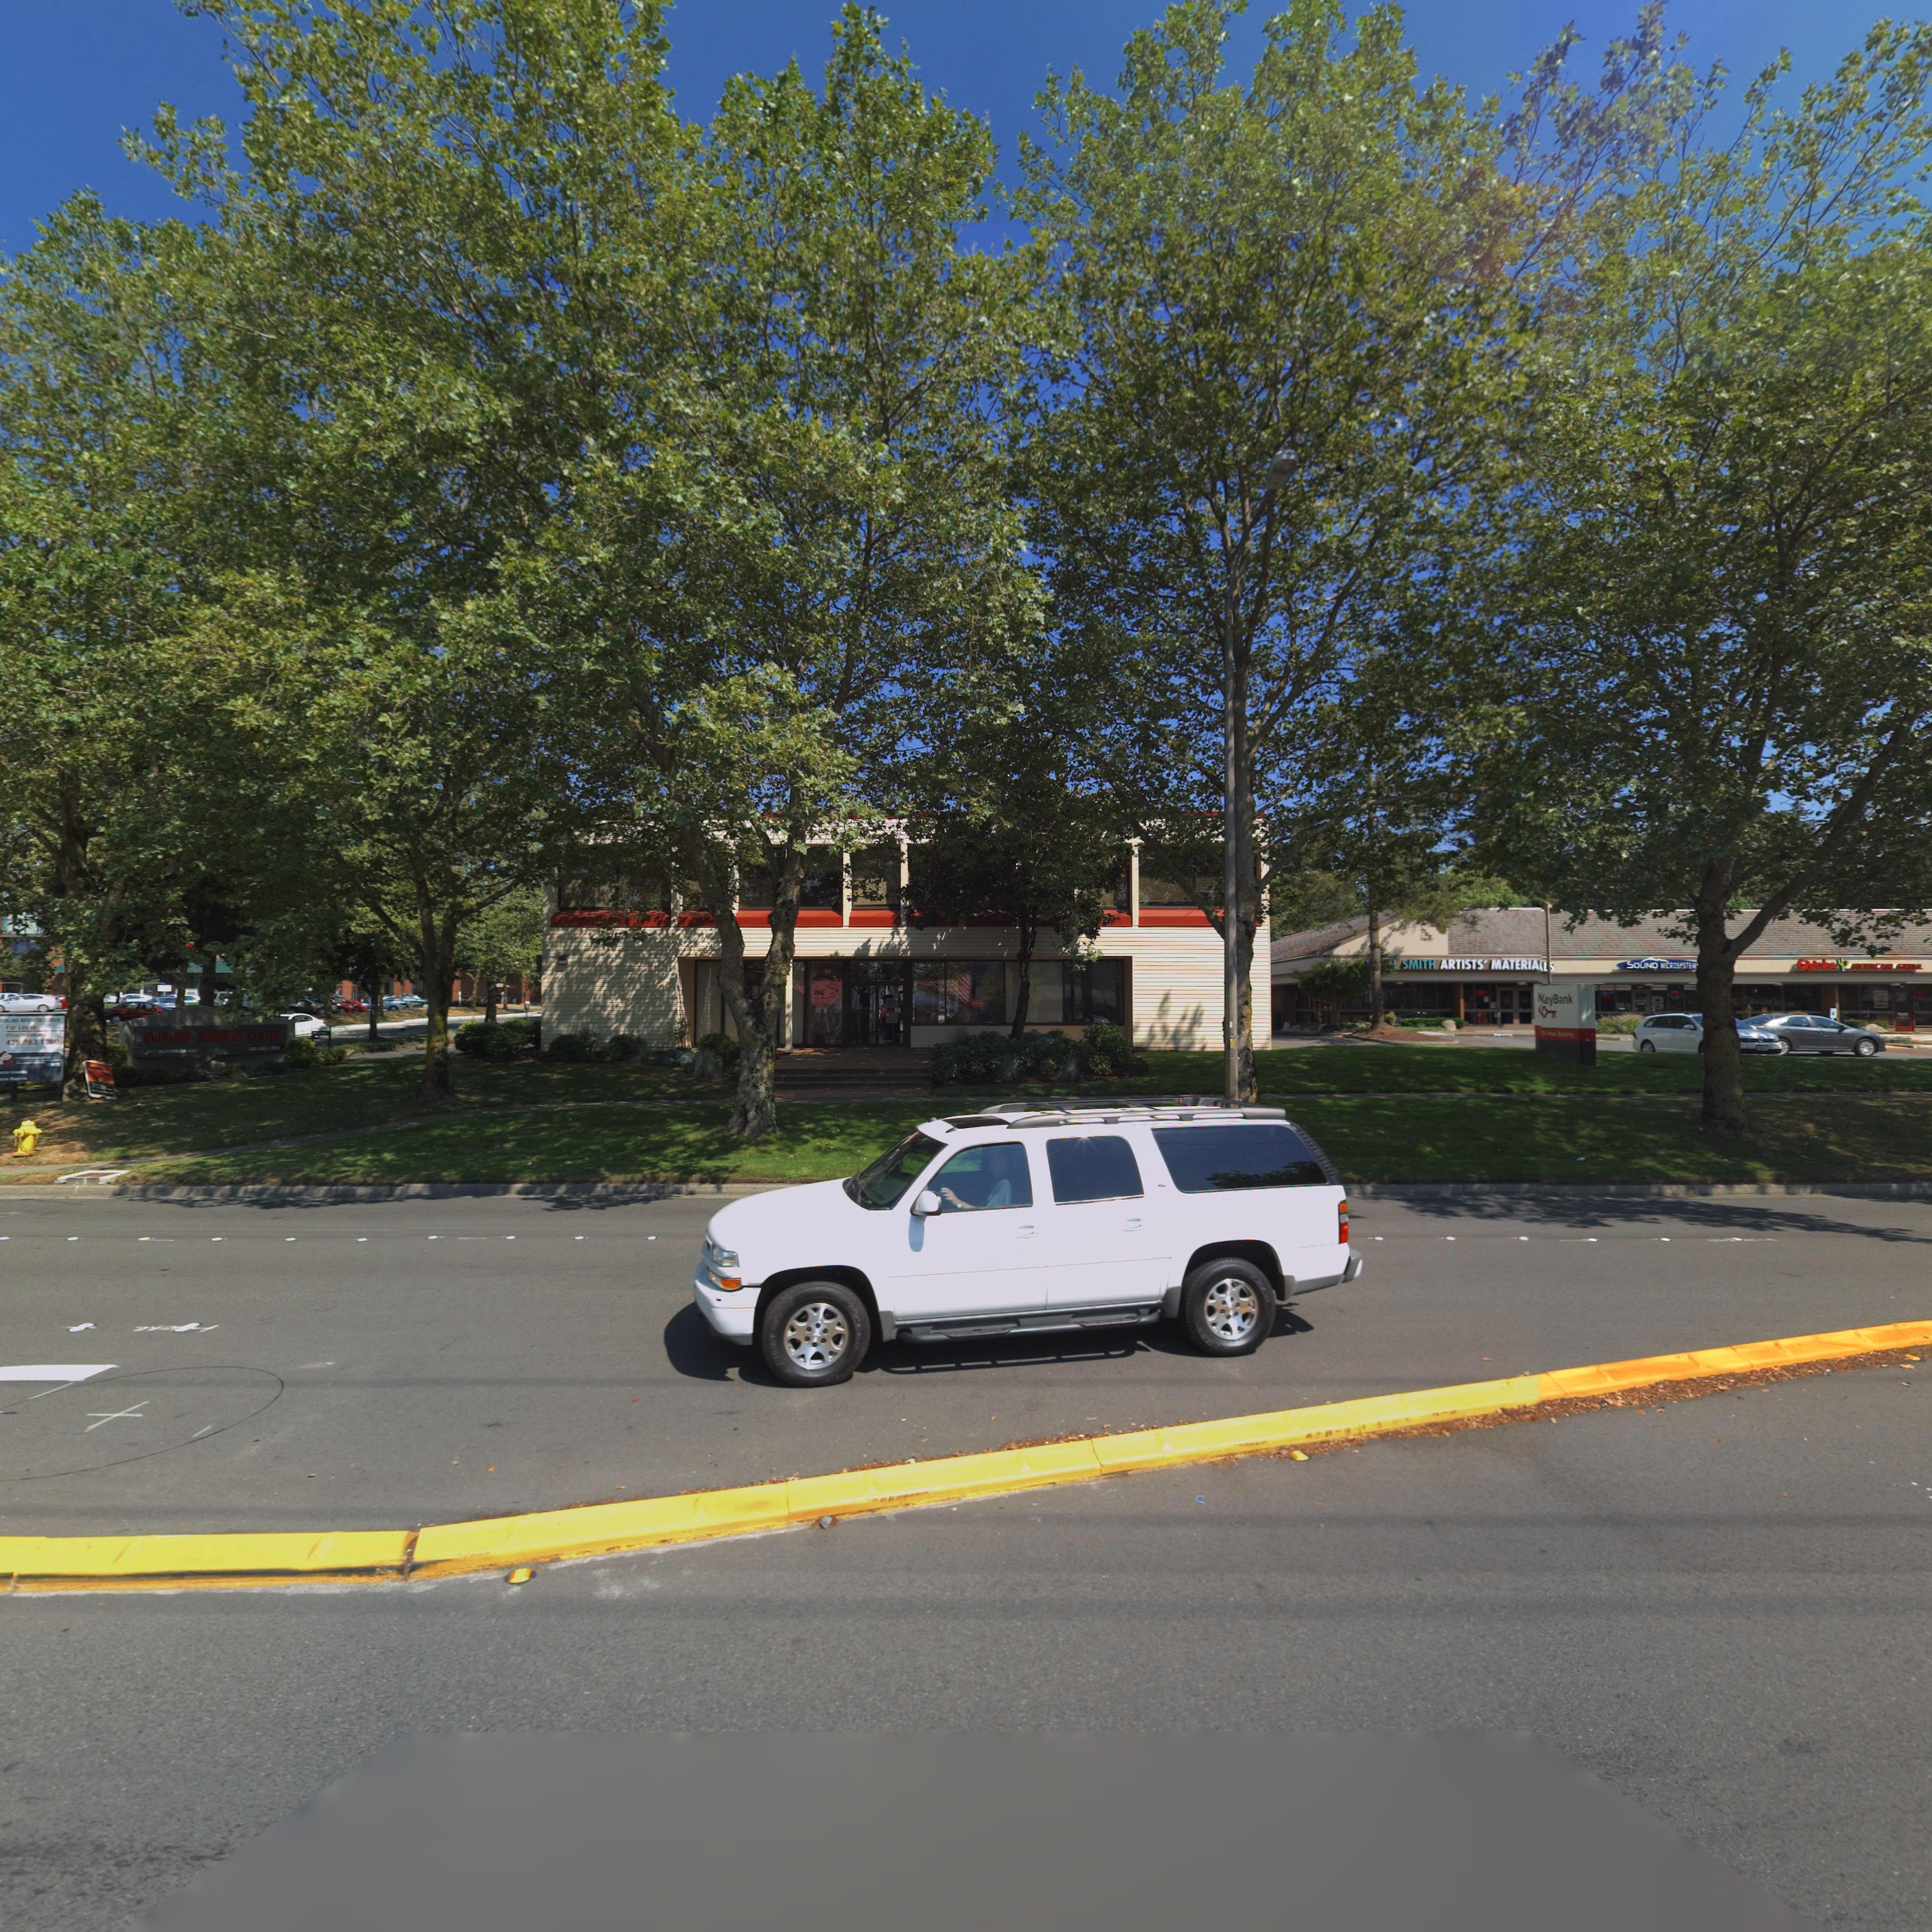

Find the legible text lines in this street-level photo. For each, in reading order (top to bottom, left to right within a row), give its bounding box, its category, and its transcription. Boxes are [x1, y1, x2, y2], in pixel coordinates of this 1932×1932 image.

[1441, 958, 1538, 969] BusinessName: ARTISTS MATERja
[1628, 961, 1698, 971] BusinessName: SOUND MICROSYSTEM*
[1537, 989, 1578, 1008] BusinessName: KeyBank